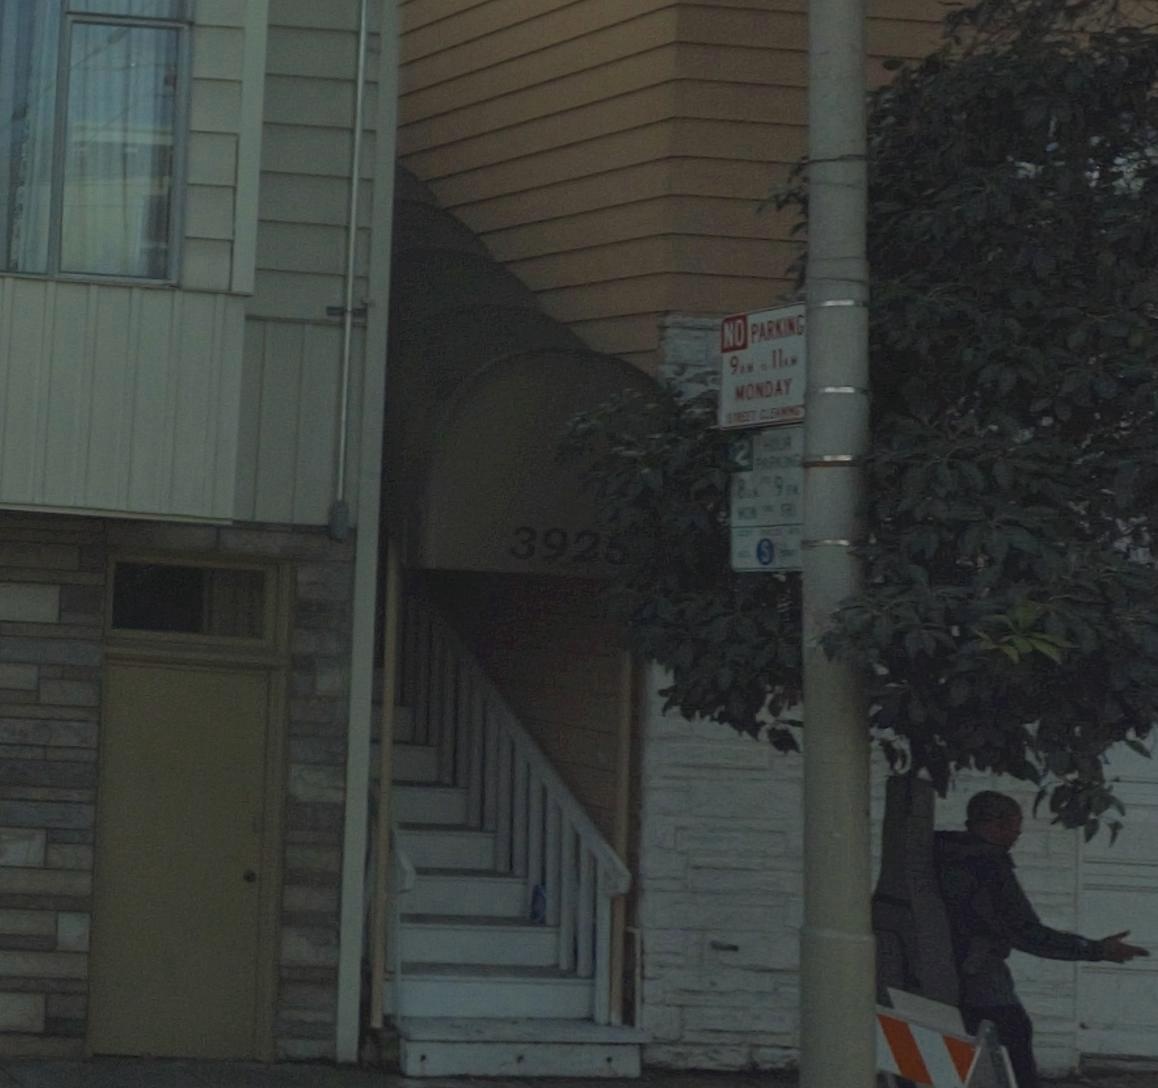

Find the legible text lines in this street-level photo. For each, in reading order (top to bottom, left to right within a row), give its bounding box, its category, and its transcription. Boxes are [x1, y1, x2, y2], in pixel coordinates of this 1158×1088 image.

[722, 316, 746, 350] None: NO
[748, 313, 806, 345] None: PARKING
[728, 353, 739, 377] None: 9
[739, 360, 753, 374] None: A.M.
[759, 362, 767, 373] None: TO
[770, 345, 785, 370] None: 11
[784, 355, 797, 369] None: A.M.
[734, 377, 794, 404] None: MONDAY
[726, 409, 757, 425] None: STREET
[758, 403, 804, 421] None: CLEANING
[734, 437, 751, 467] None: 2
[759, 436, 793, 451] None: HOUR
[753, 452, 802, 471] None: PARKING
[732, 475, 746, 499] None: 8
[747, 486, 760, 498] None: AM
[773, 474, 784, 499] None: 9
[784, 481, 799, 497] None: AM
[737, 506, 759, 521] None: MON
[779, 503, 798, 516] None: FRI
[504, 524, 635, 563] StreetNumber: 3925
[760, 540, 771, 564] None: S